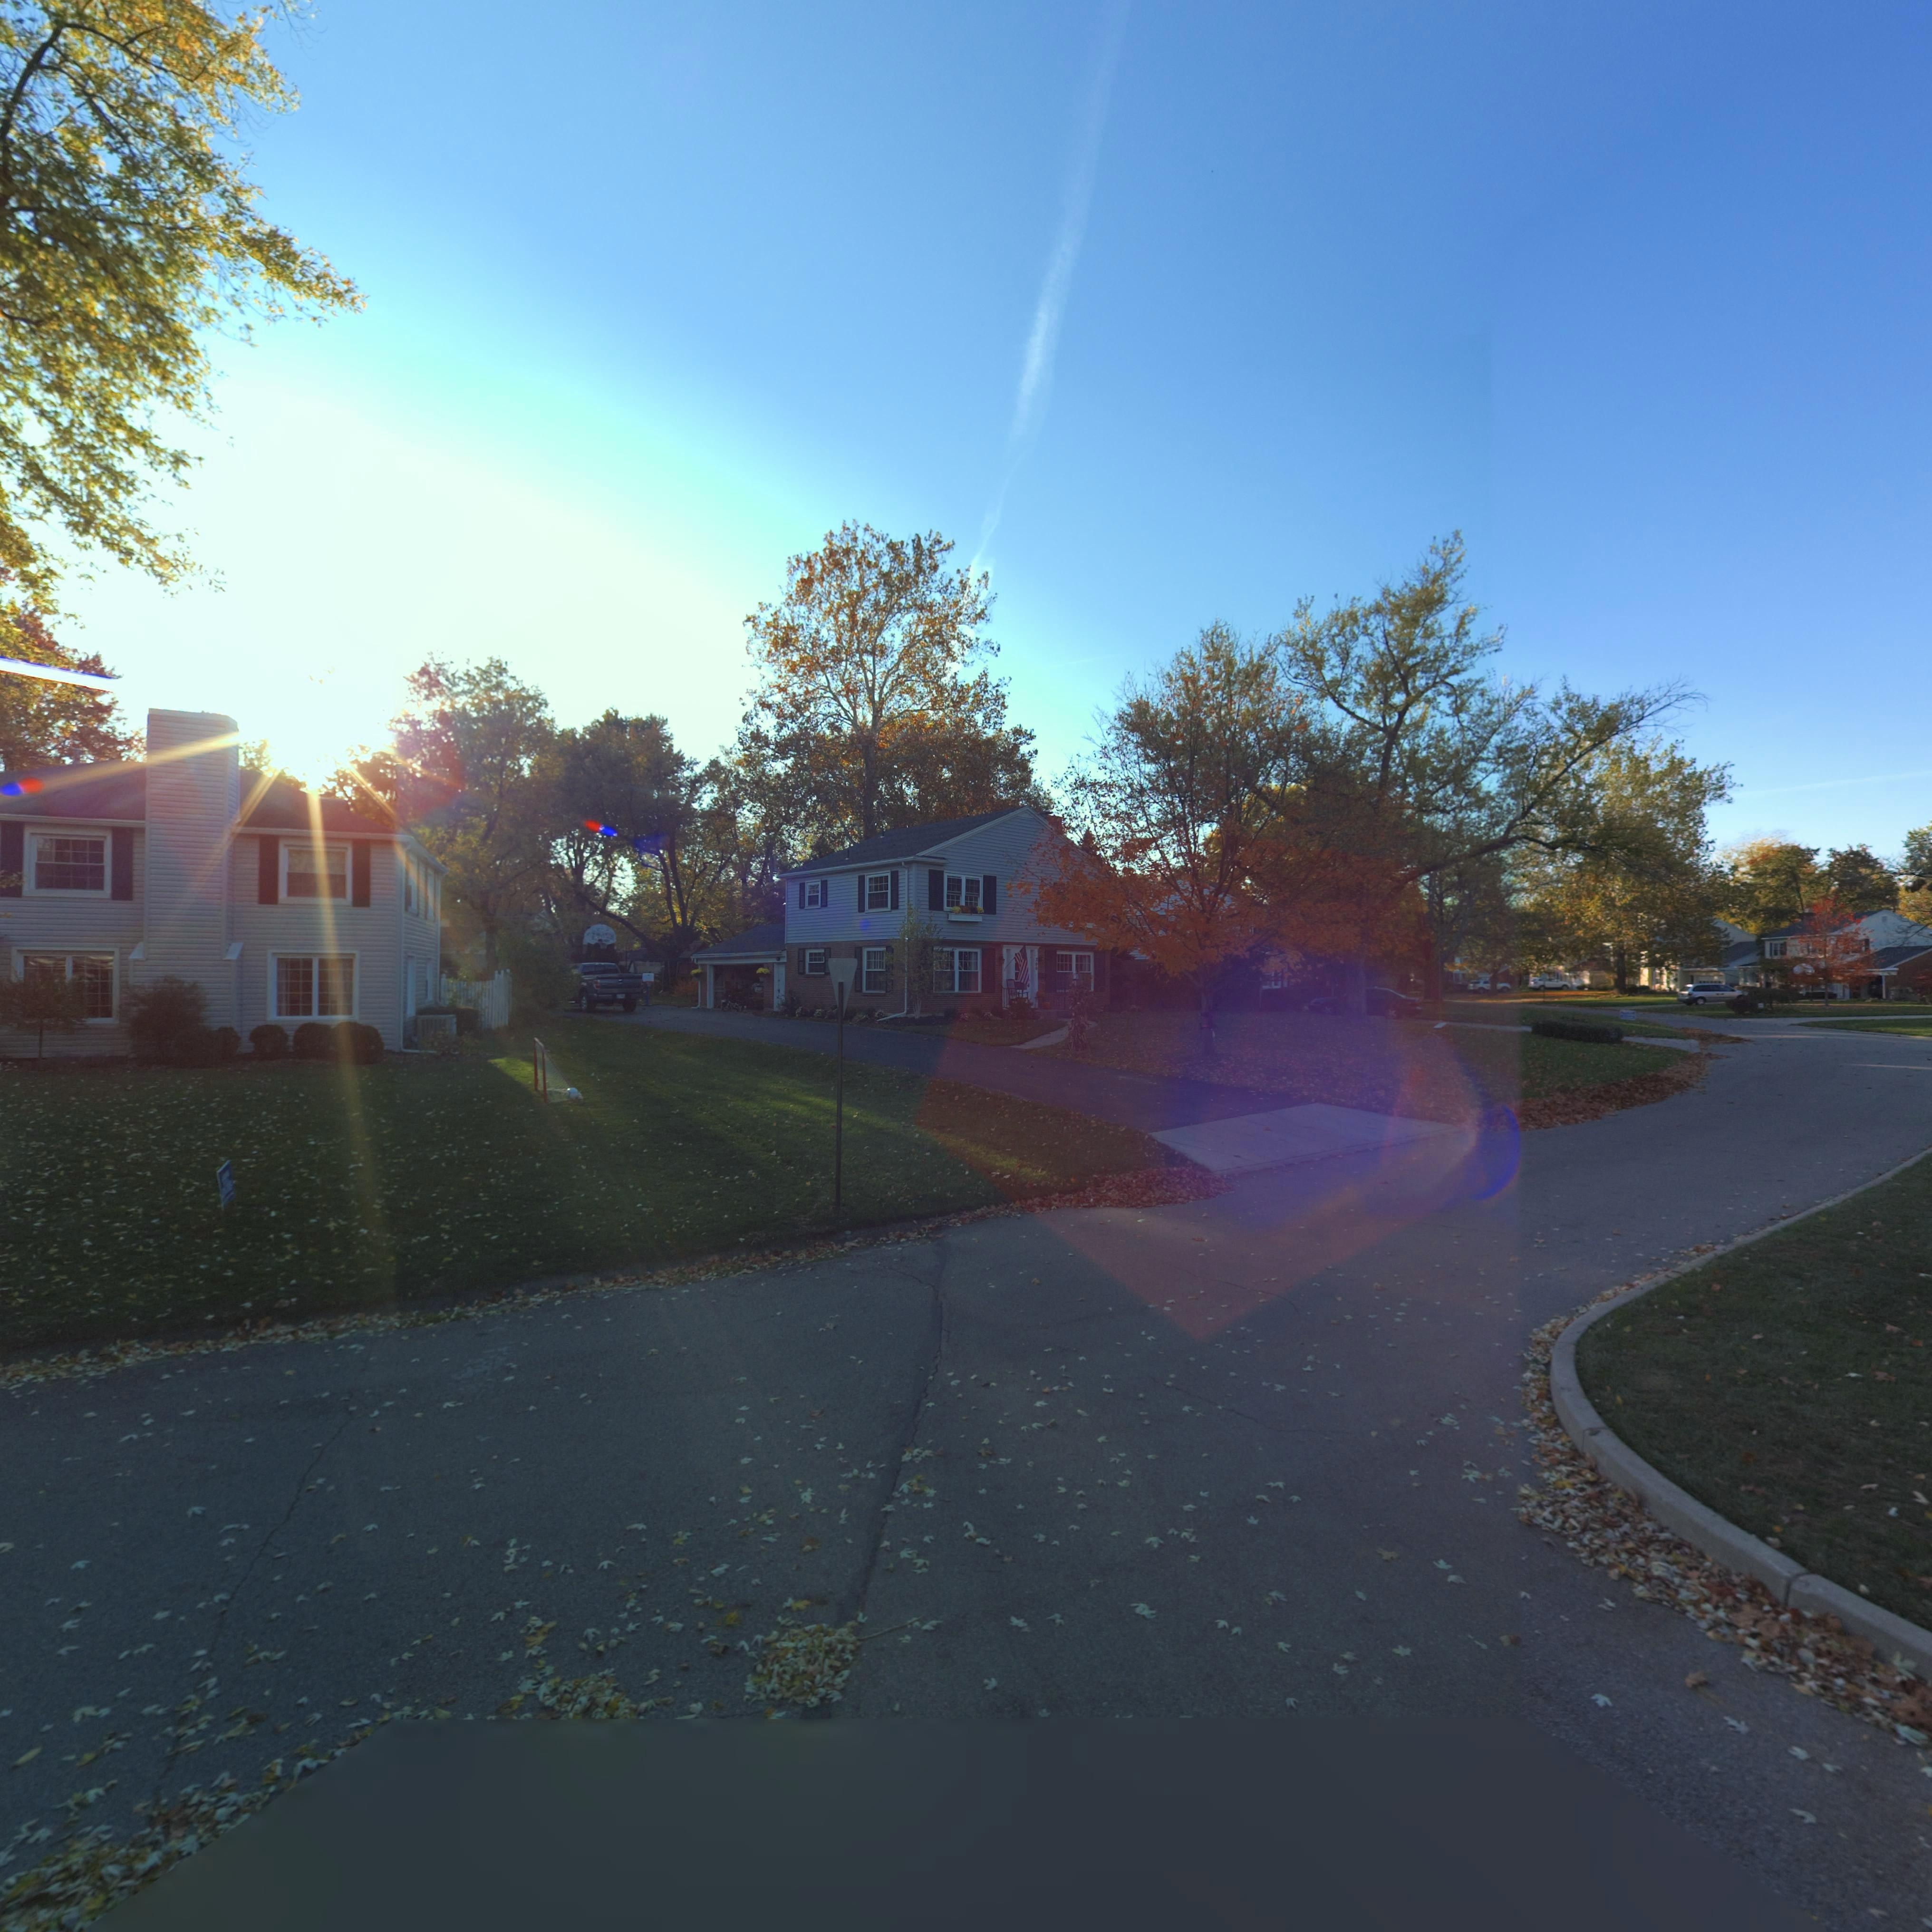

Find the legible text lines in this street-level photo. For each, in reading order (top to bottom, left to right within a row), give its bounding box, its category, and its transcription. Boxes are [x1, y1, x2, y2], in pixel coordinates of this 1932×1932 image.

[1034, 957, 1039, 970] StreetNumber: 300